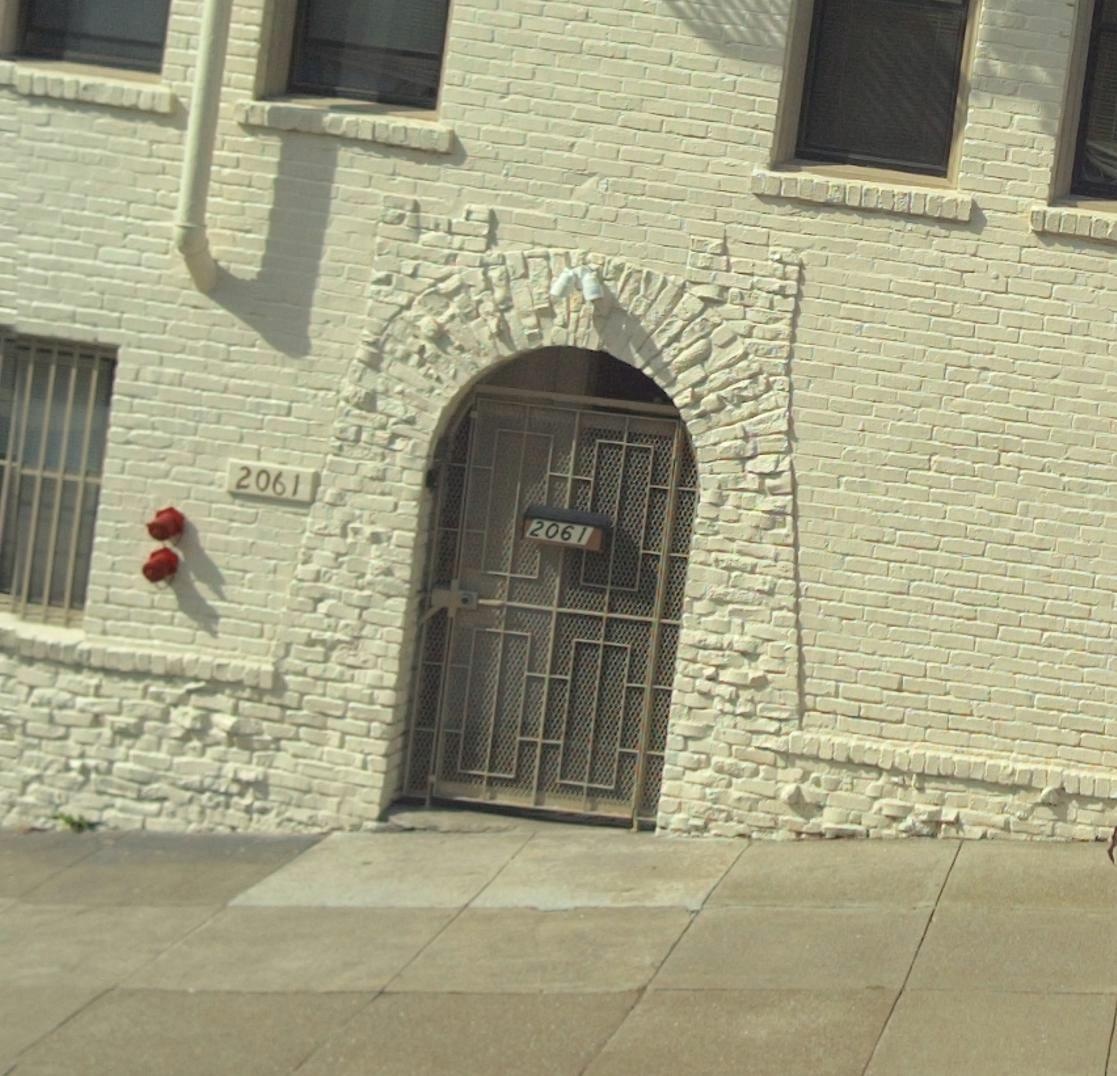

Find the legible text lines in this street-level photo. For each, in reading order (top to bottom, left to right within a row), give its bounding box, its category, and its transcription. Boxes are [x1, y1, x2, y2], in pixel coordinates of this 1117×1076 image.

[232, 463, 303, 500] StreetNumber: 2061
[525, 518, 591, 546] StreetNumber: 2061